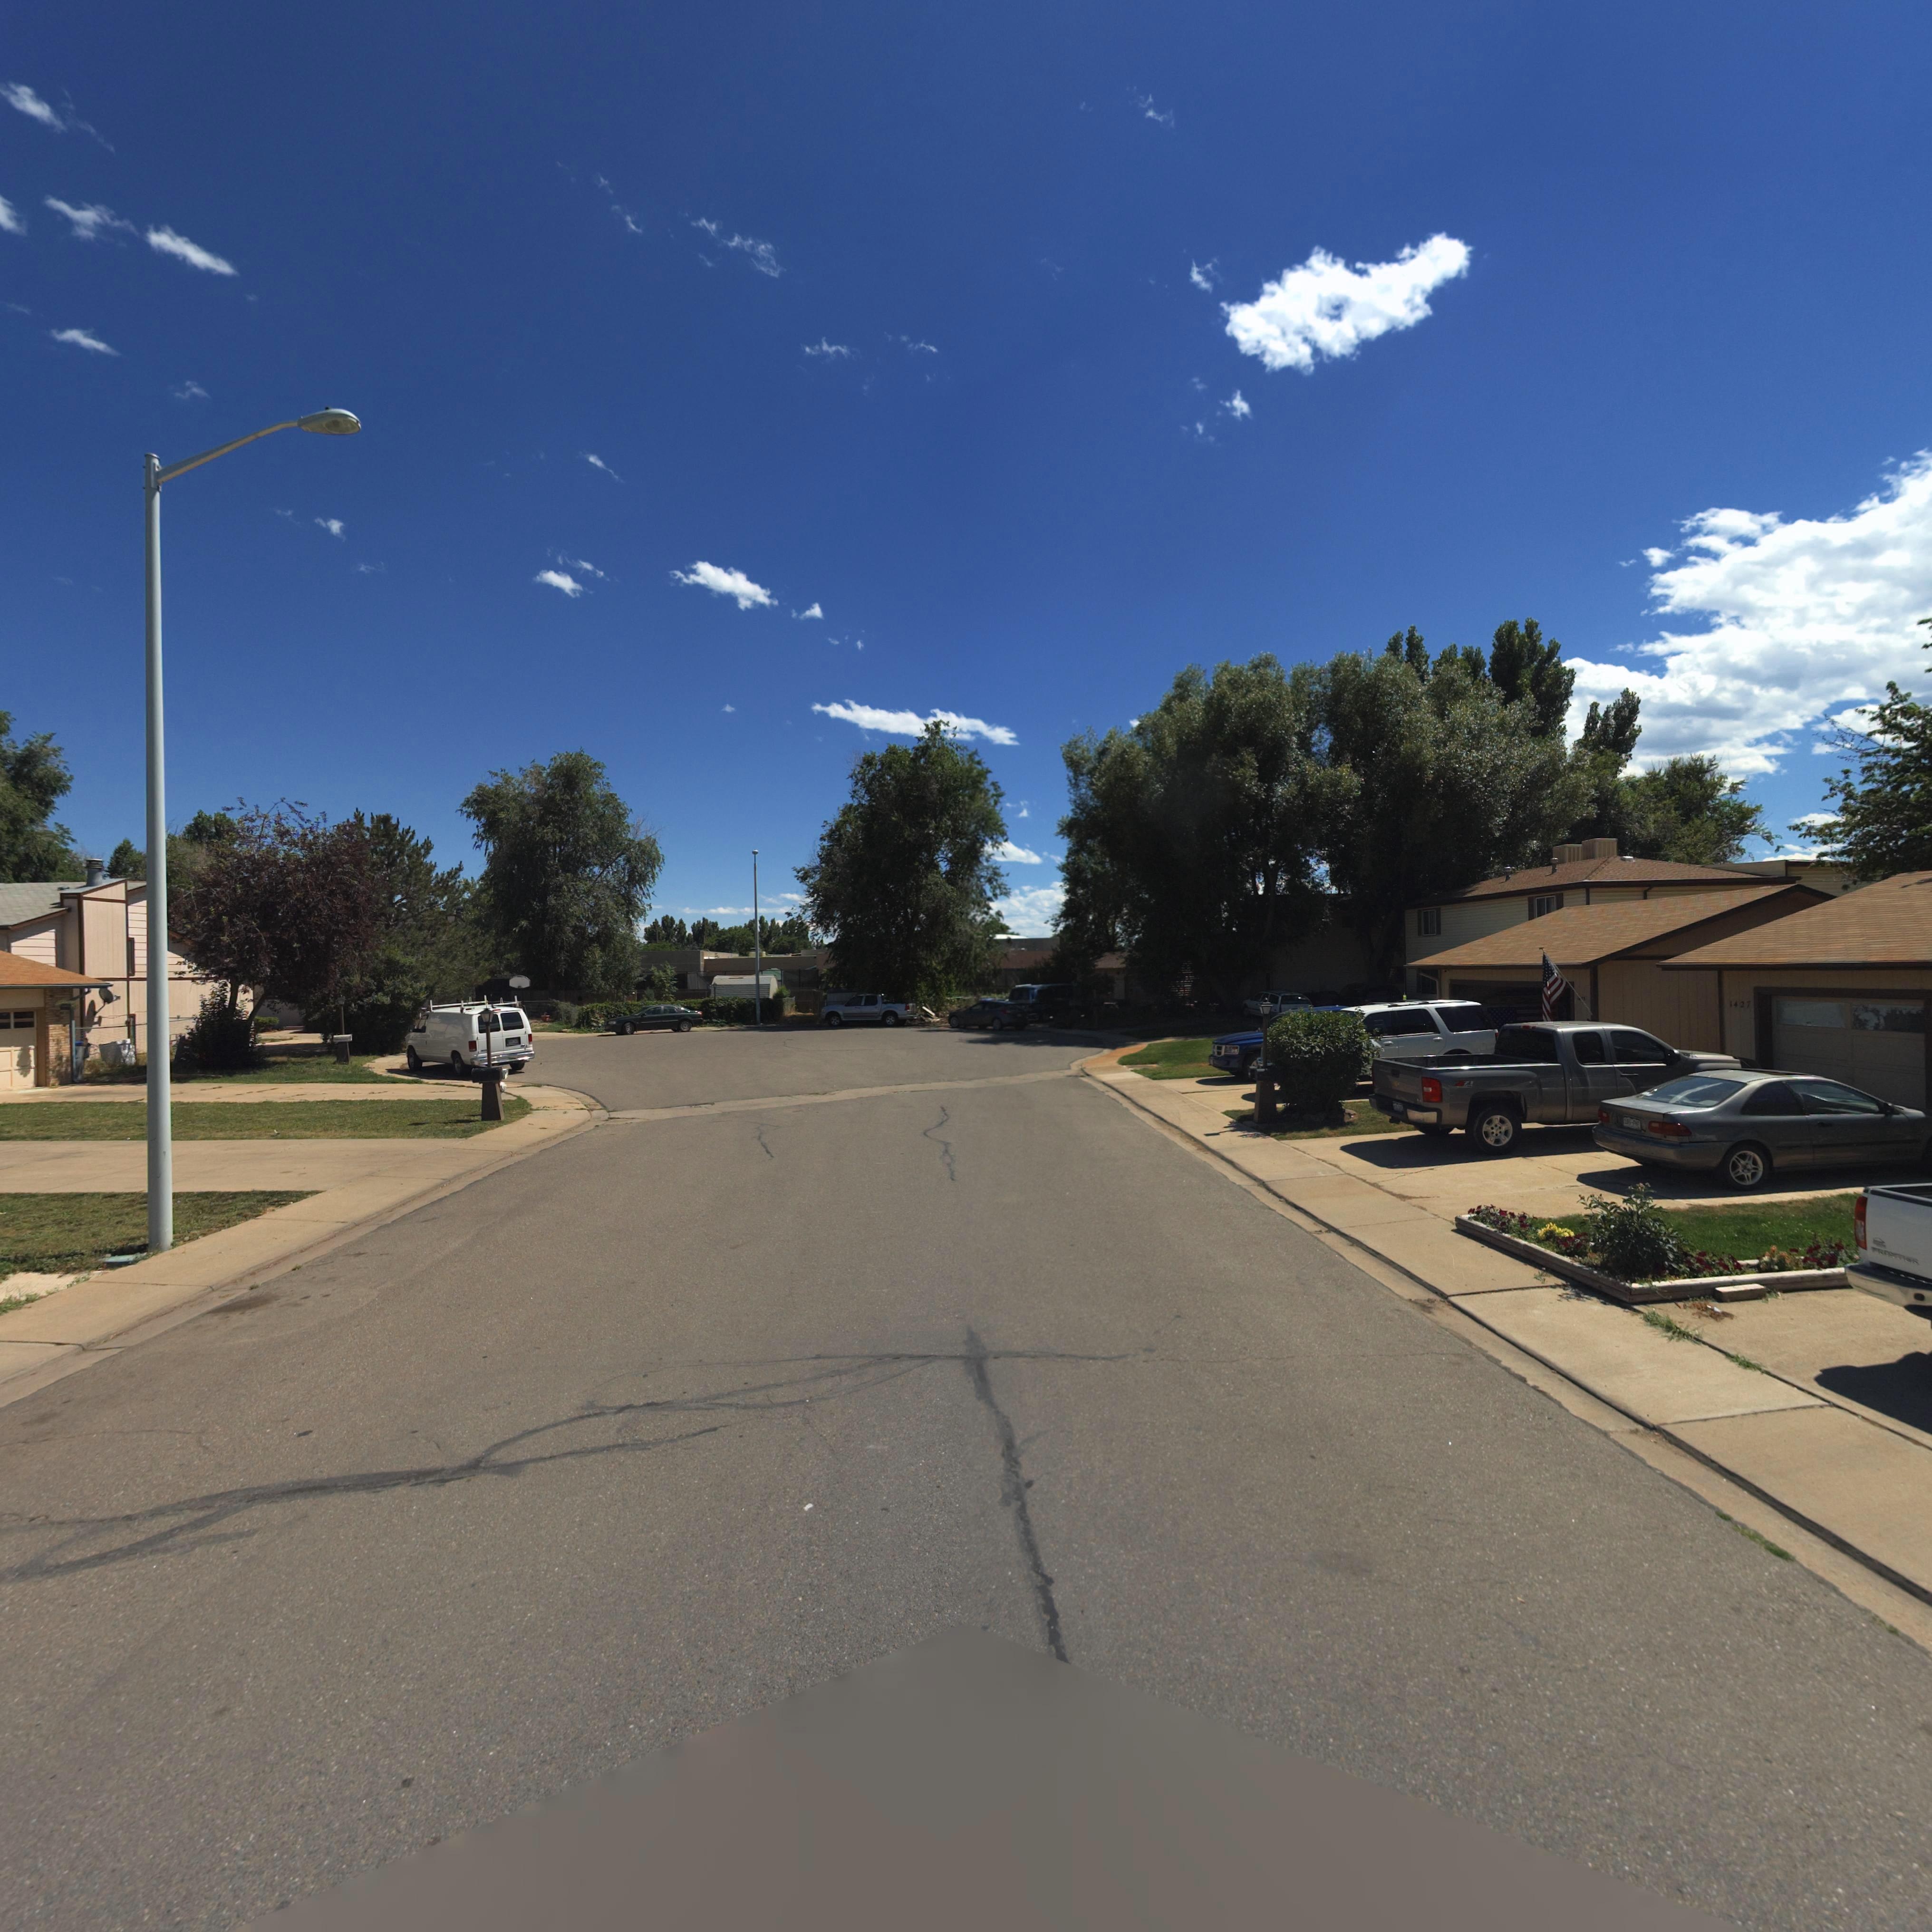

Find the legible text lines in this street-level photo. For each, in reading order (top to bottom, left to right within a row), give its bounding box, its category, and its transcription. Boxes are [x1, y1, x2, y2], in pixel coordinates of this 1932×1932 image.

[1729, 1000, 1751, 1008] StreetNumber: 1427